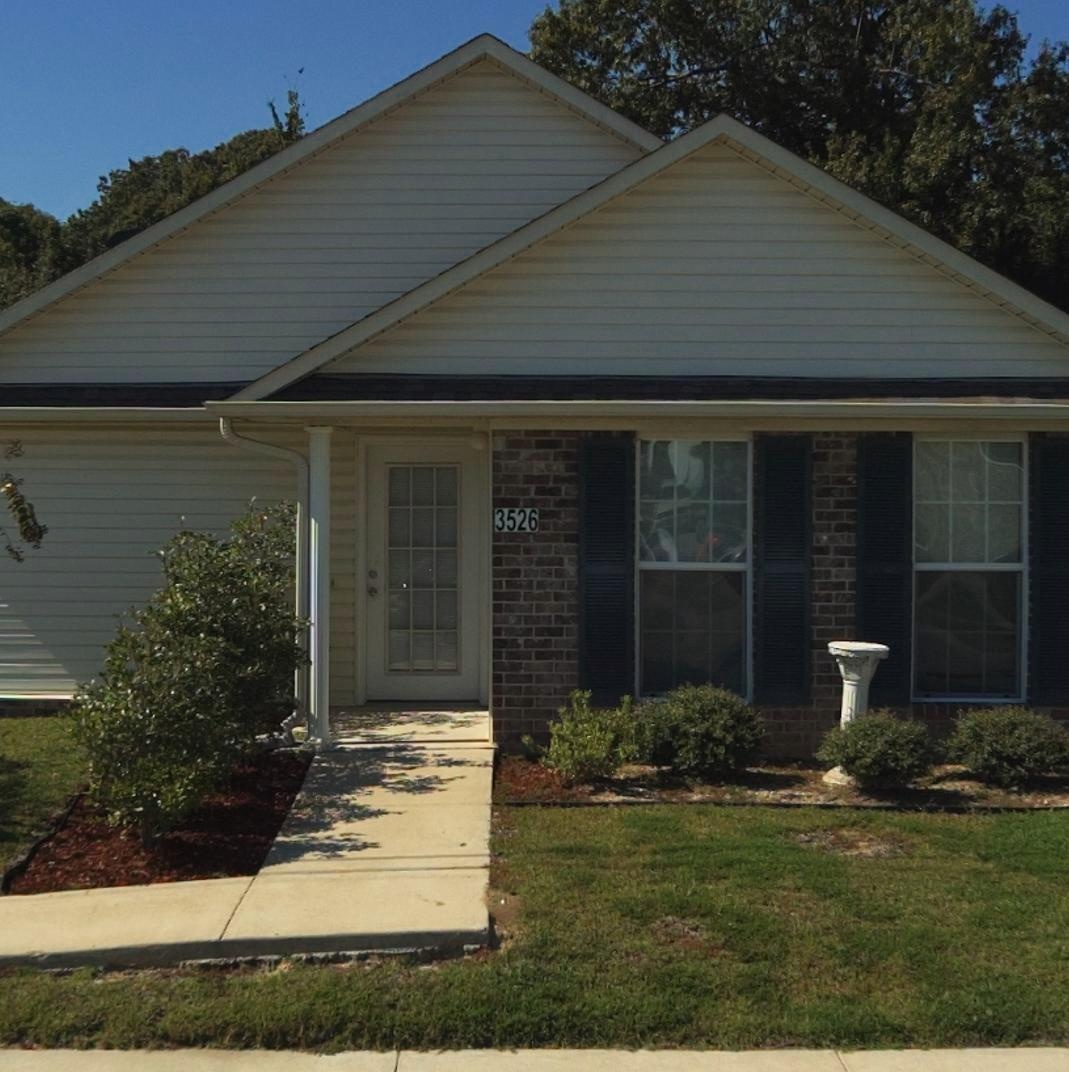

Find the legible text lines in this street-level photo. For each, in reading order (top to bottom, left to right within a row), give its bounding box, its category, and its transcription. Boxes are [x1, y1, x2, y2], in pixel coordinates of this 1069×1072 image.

[495, 508, 538, 531] StreetNumber: 3526